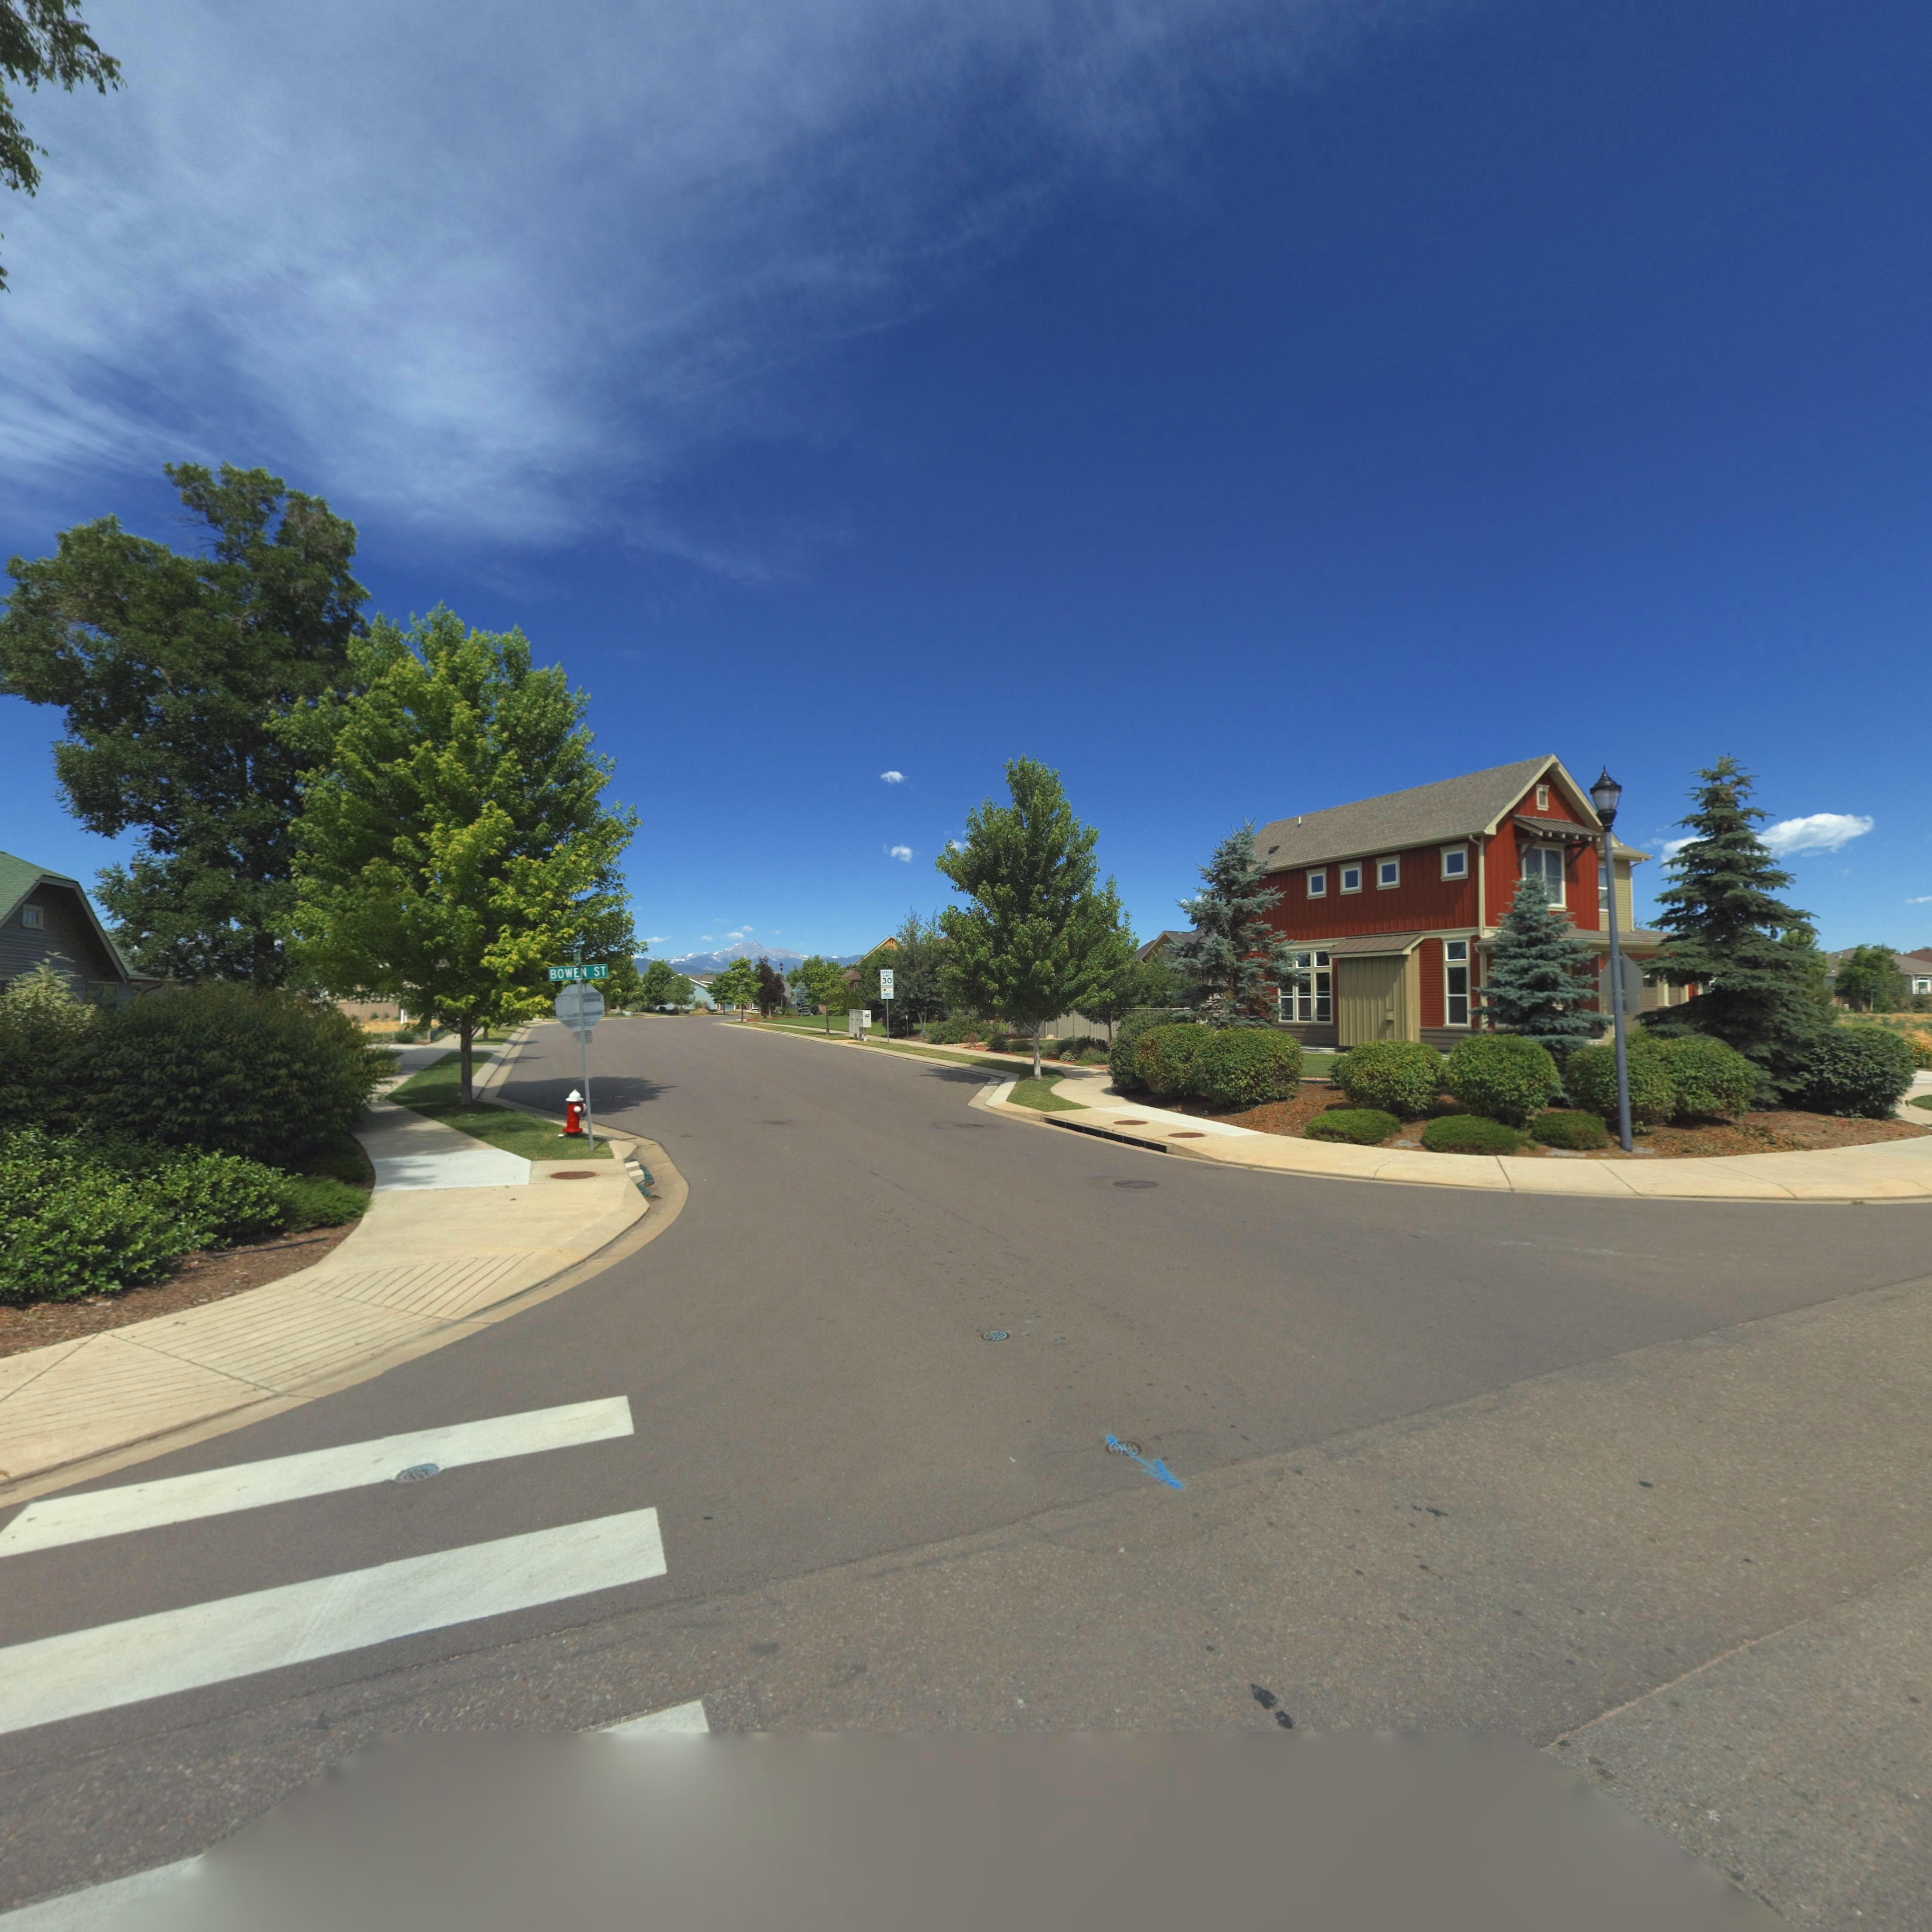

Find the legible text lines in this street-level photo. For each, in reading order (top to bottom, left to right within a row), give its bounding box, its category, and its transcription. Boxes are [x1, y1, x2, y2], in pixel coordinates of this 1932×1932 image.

[549, 966, 606, 980] StreetName: BOWEN ST